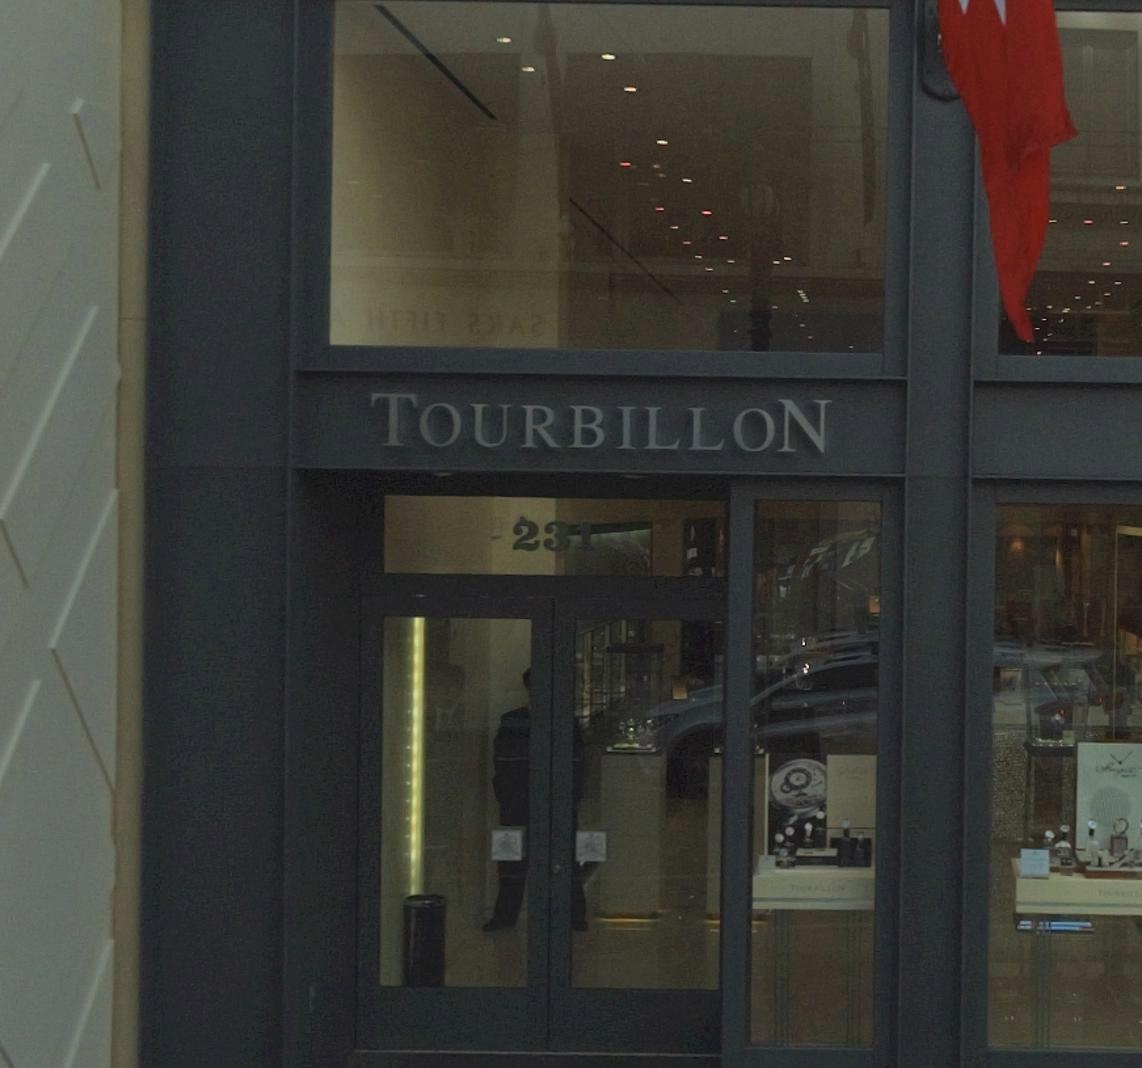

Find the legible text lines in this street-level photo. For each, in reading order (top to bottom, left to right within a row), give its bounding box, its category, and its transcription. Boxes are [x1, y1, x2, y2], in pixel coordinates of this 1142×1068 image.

[358, 302, 549, 342] None: HT*** **A*
[362, 385, 840, 461] BusinessName: TOURBILLON
[506, 514, 601, 555] StreetNumber: 231